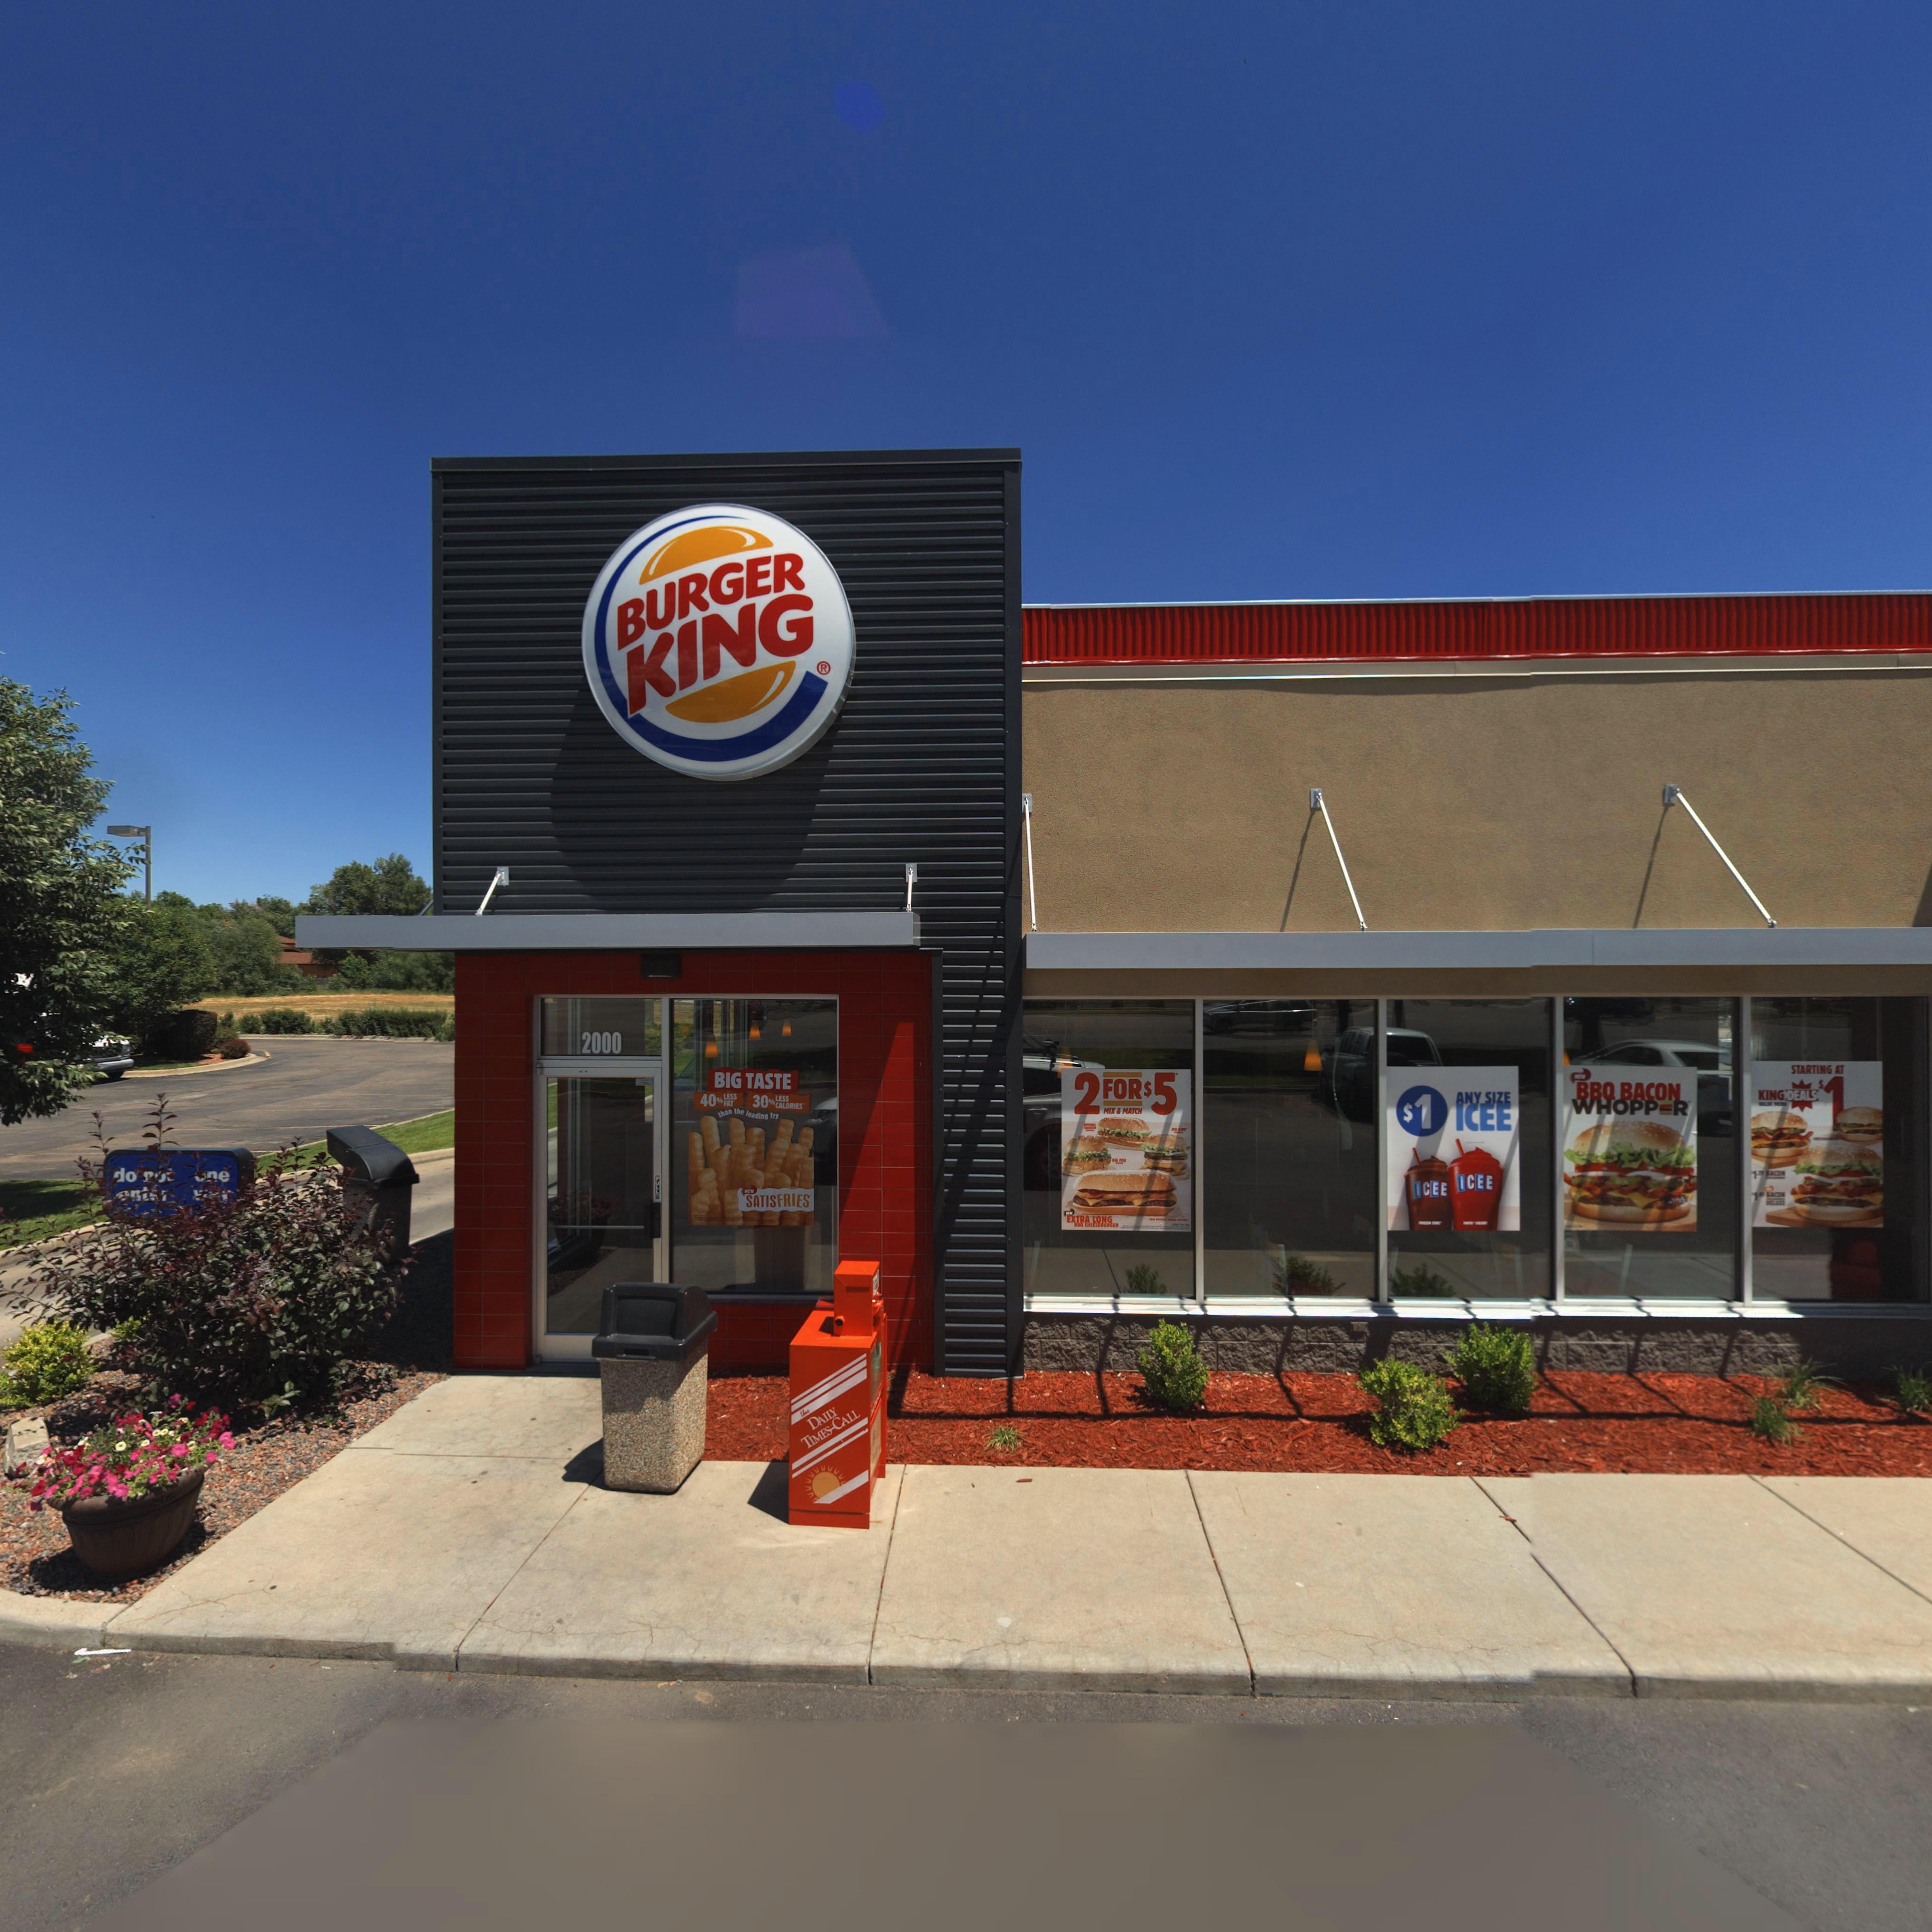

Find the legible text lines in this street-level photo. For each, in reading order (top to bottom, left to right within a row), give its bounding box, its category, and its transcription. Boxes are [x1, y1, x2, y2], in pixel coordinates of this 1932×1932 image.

[616, 552, 805, 652] BusinessName: BURGER
[626, 593, 814, 716] BusinessName: KING
[581, 1031, 622, 1054] StreetNumber: 2000